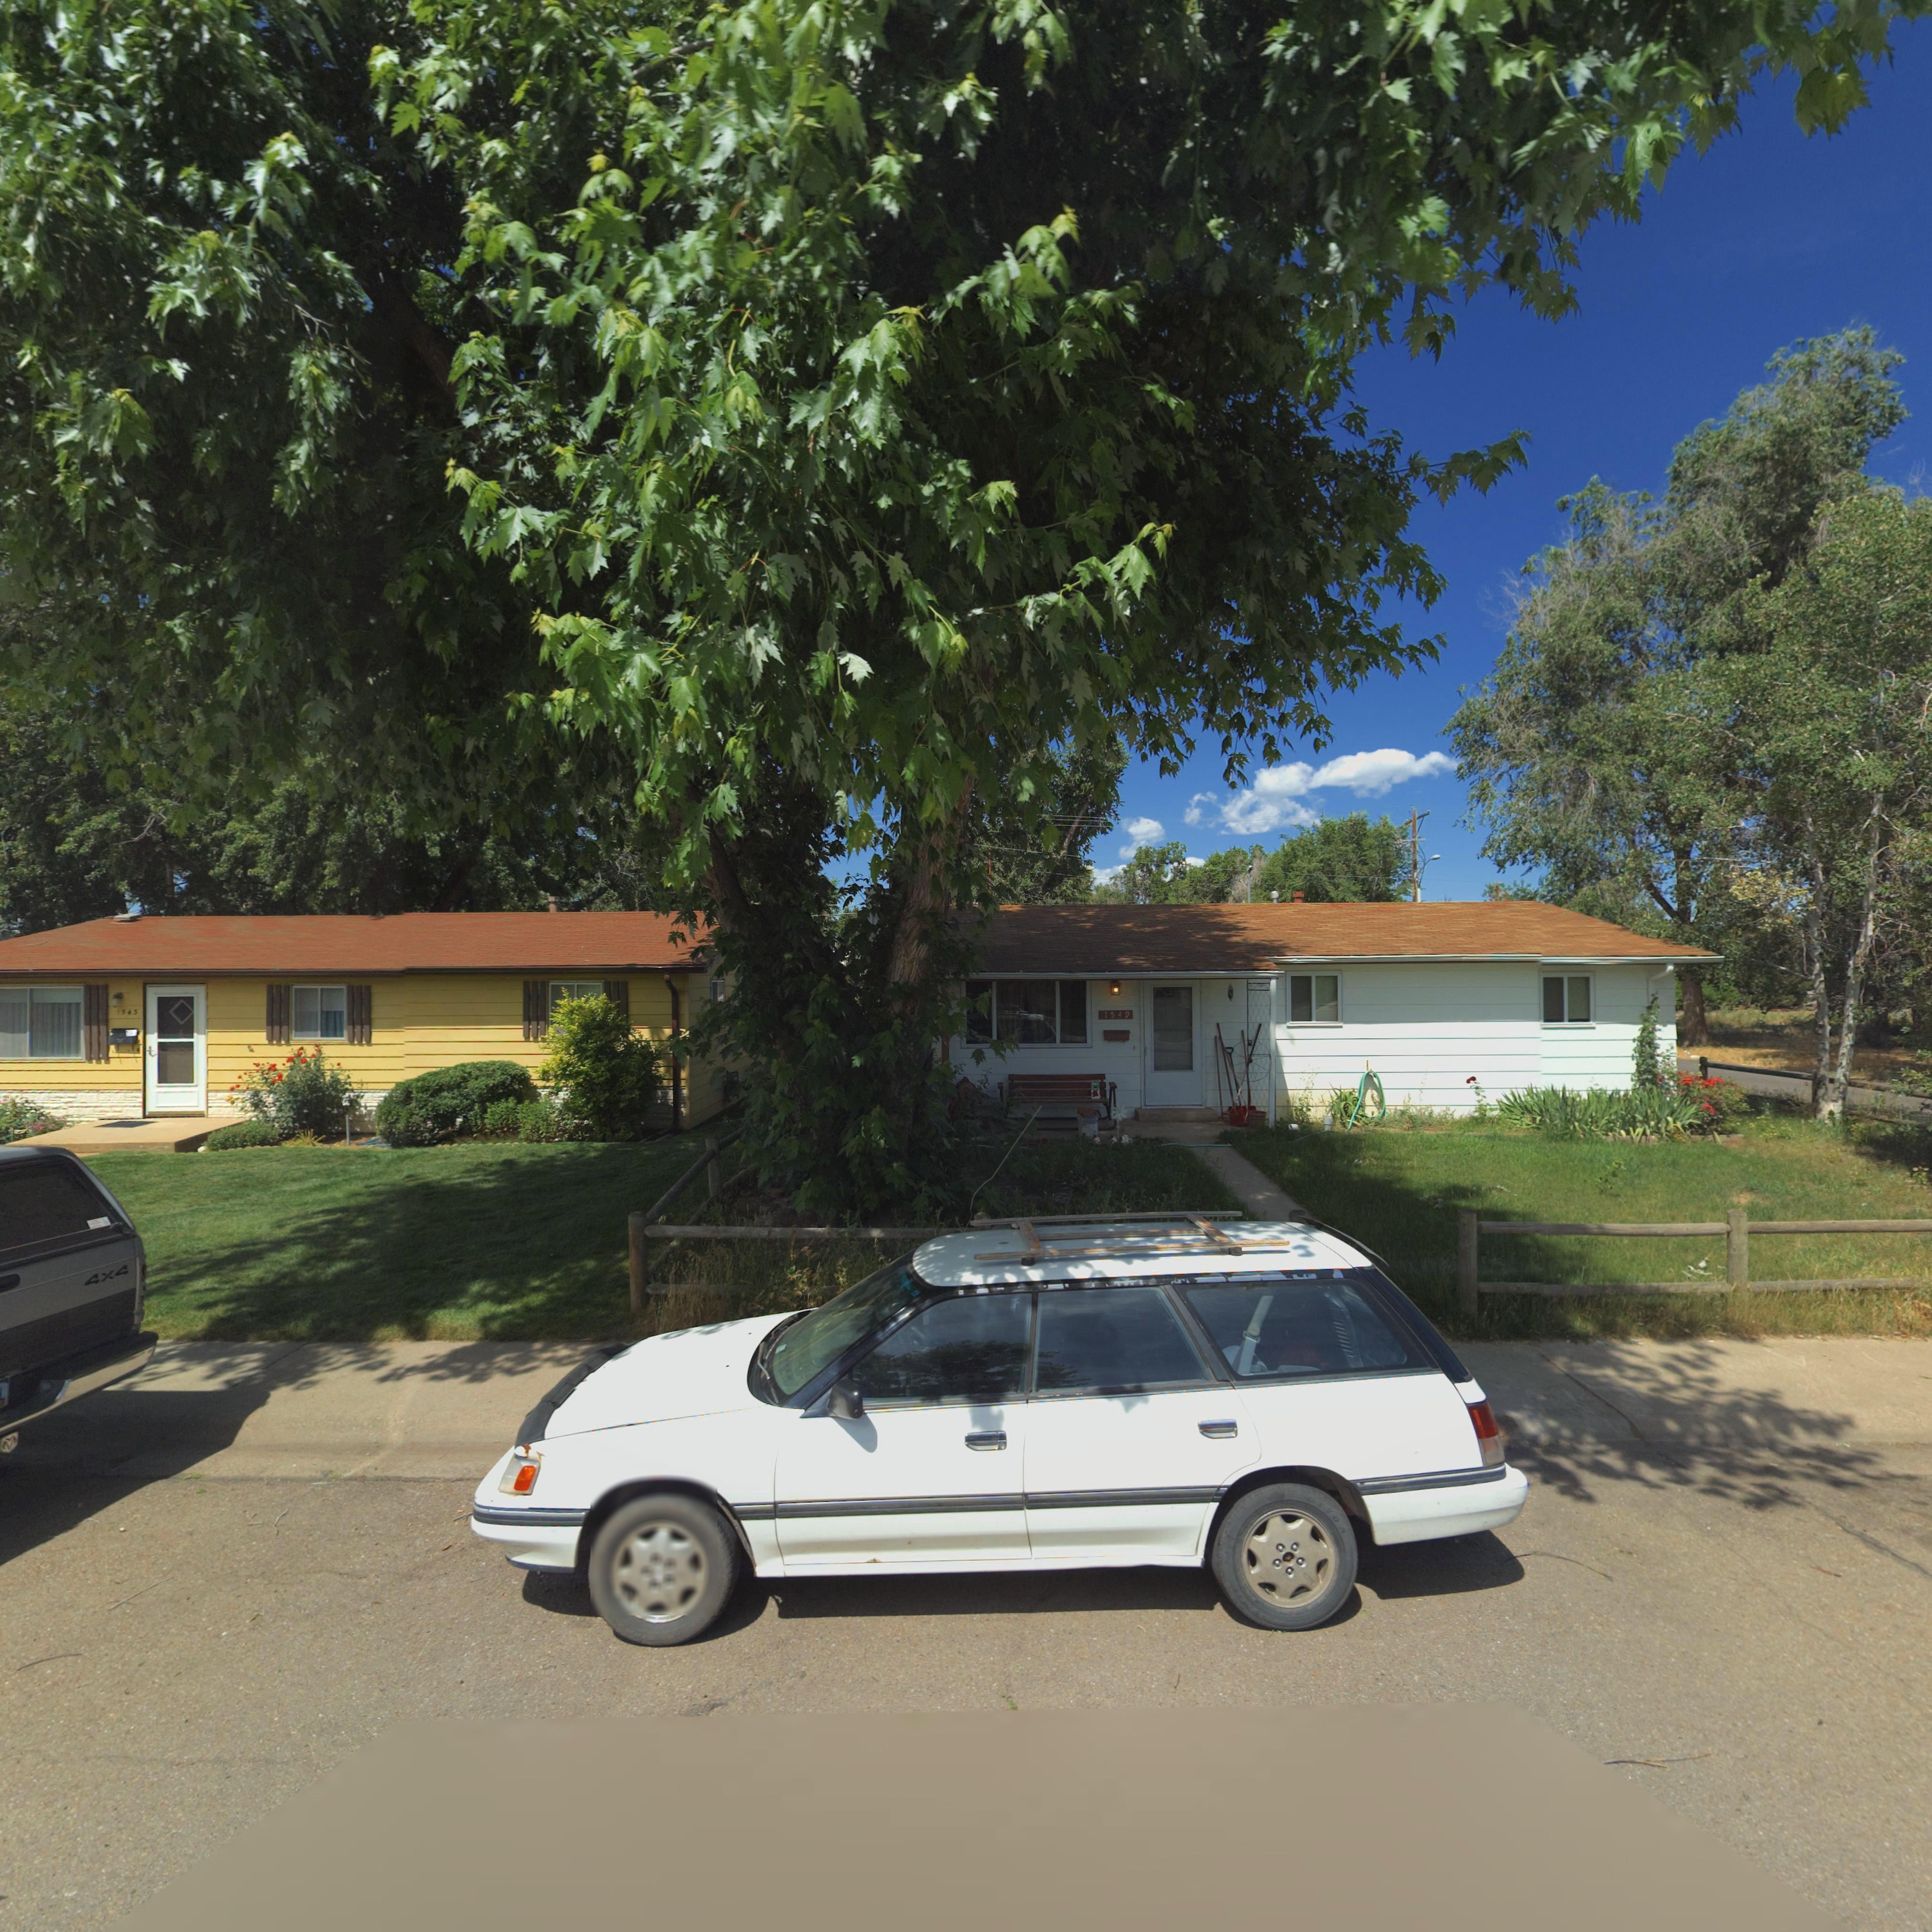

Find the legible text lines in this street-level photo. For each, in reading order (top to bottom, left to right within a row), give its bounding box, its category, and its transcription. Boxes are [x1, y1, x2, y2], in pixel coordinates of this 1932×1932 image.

[116, 1008, 138, 1015] StreetNumber: 1543
[1104, 1011, 1130, 1018] StreetNumber: 1549